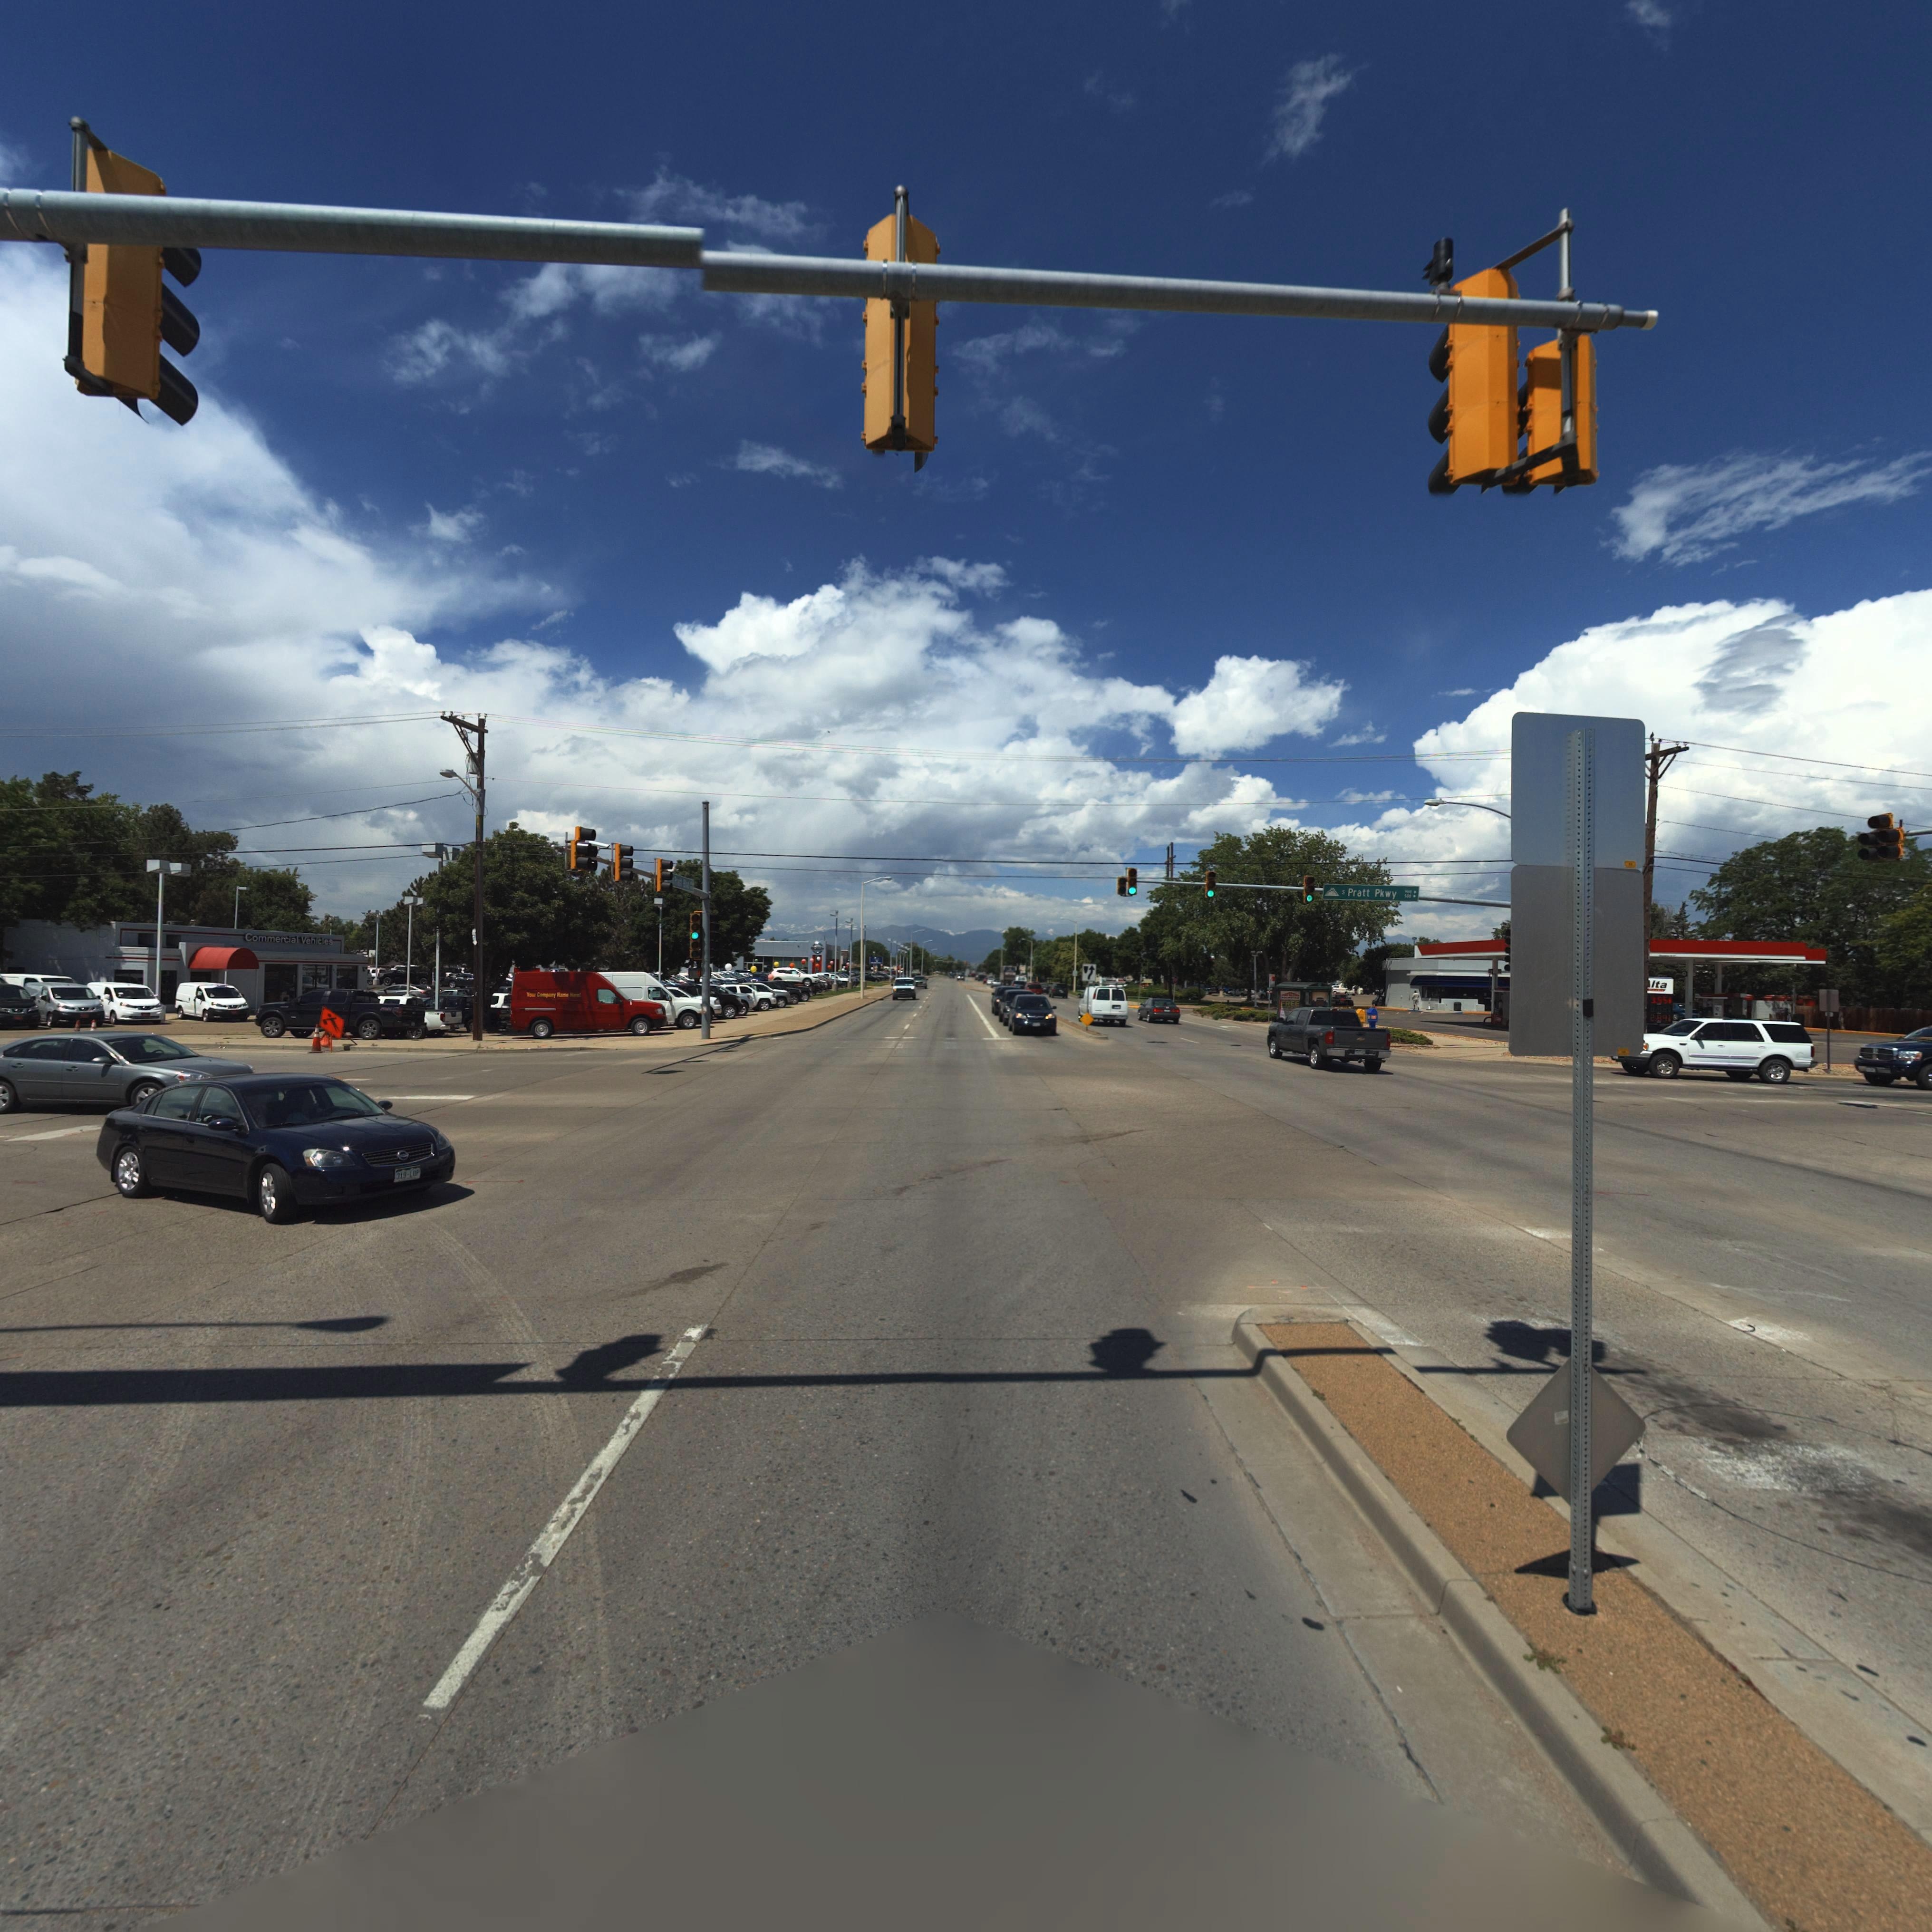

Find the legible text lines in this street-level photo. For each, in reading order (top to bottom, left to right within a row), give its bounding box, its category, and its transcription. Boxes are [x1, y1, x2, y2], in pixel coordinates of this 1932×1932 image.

[1341, 888, 1397, 899] StreetName: S Pratt Pkwy
[1404, 894, 1416, 898] StreetNumberRange: 500 ->
[1651, 980, 1667, 988] BusinessName: lta